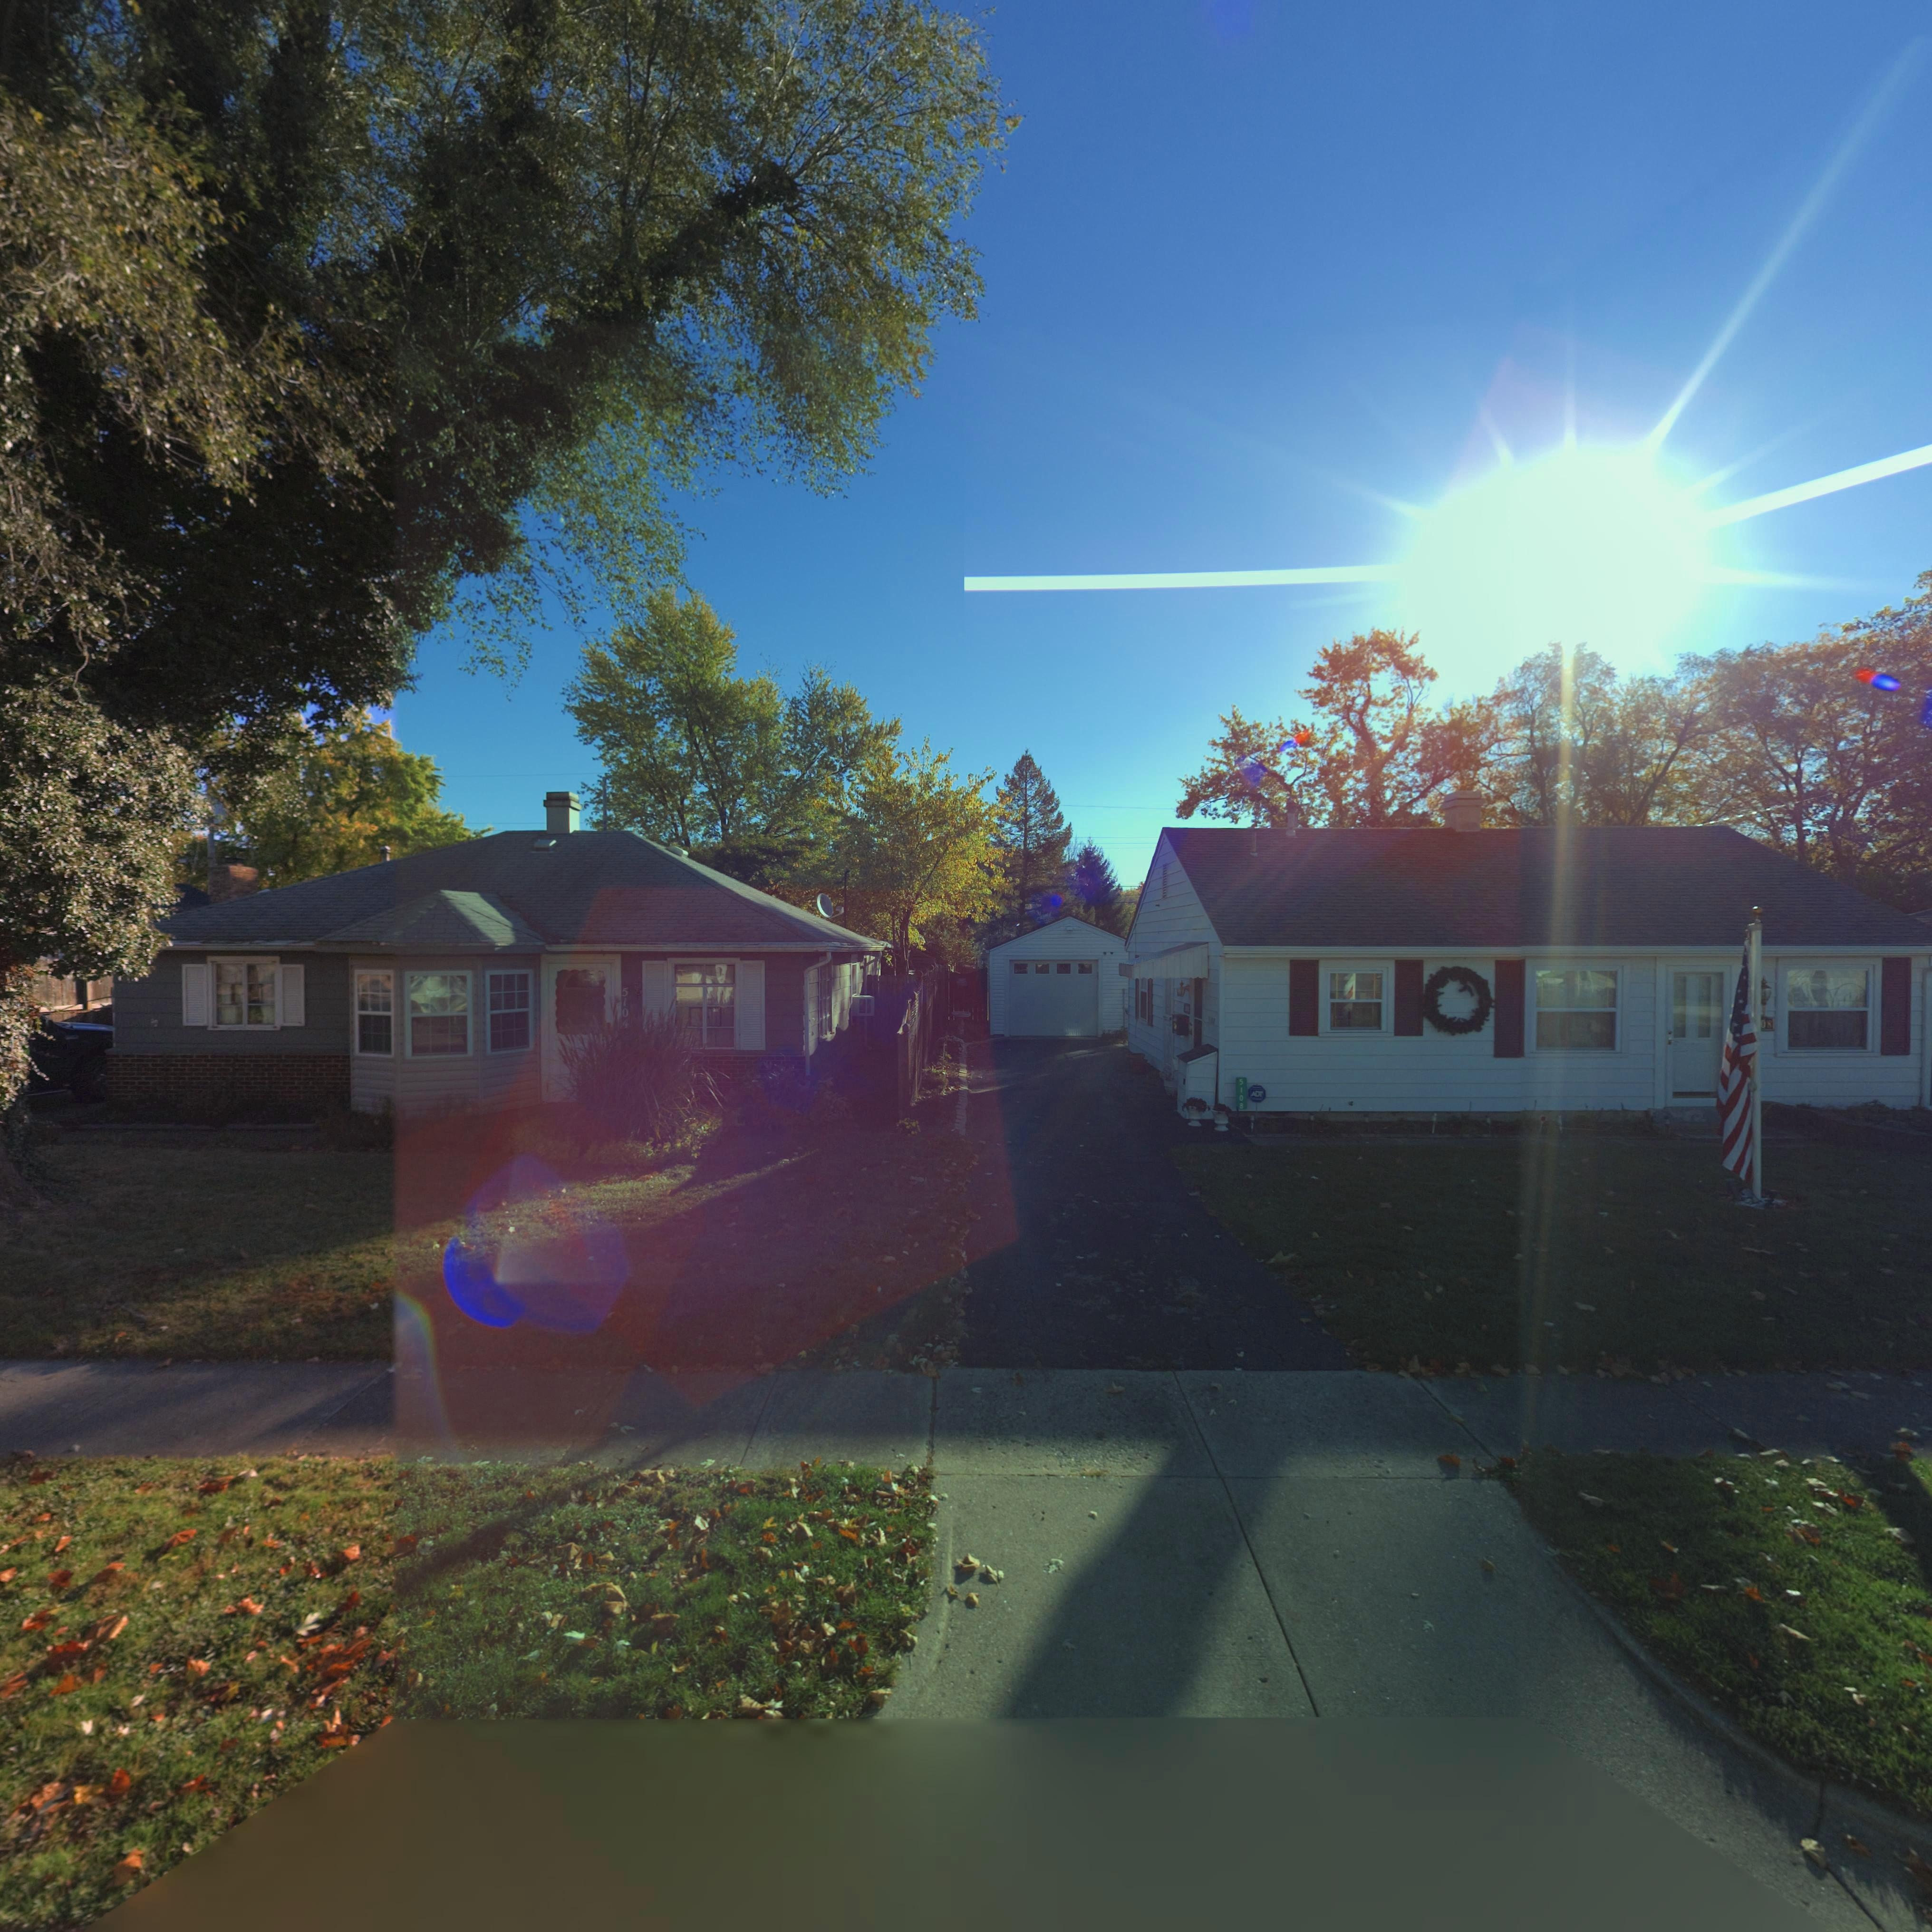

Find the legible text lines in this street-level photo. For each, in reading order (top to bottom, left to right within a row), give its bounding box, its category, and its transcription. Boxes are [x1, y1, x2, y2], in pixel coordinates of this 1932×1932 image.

[621, 986, 629, 1029] StreetNumber: 5104
[1760, 1019, 1773, 1030] StreetNumber: 08
[1238, 1078, 1244, 1109] StreetNumber: 5104